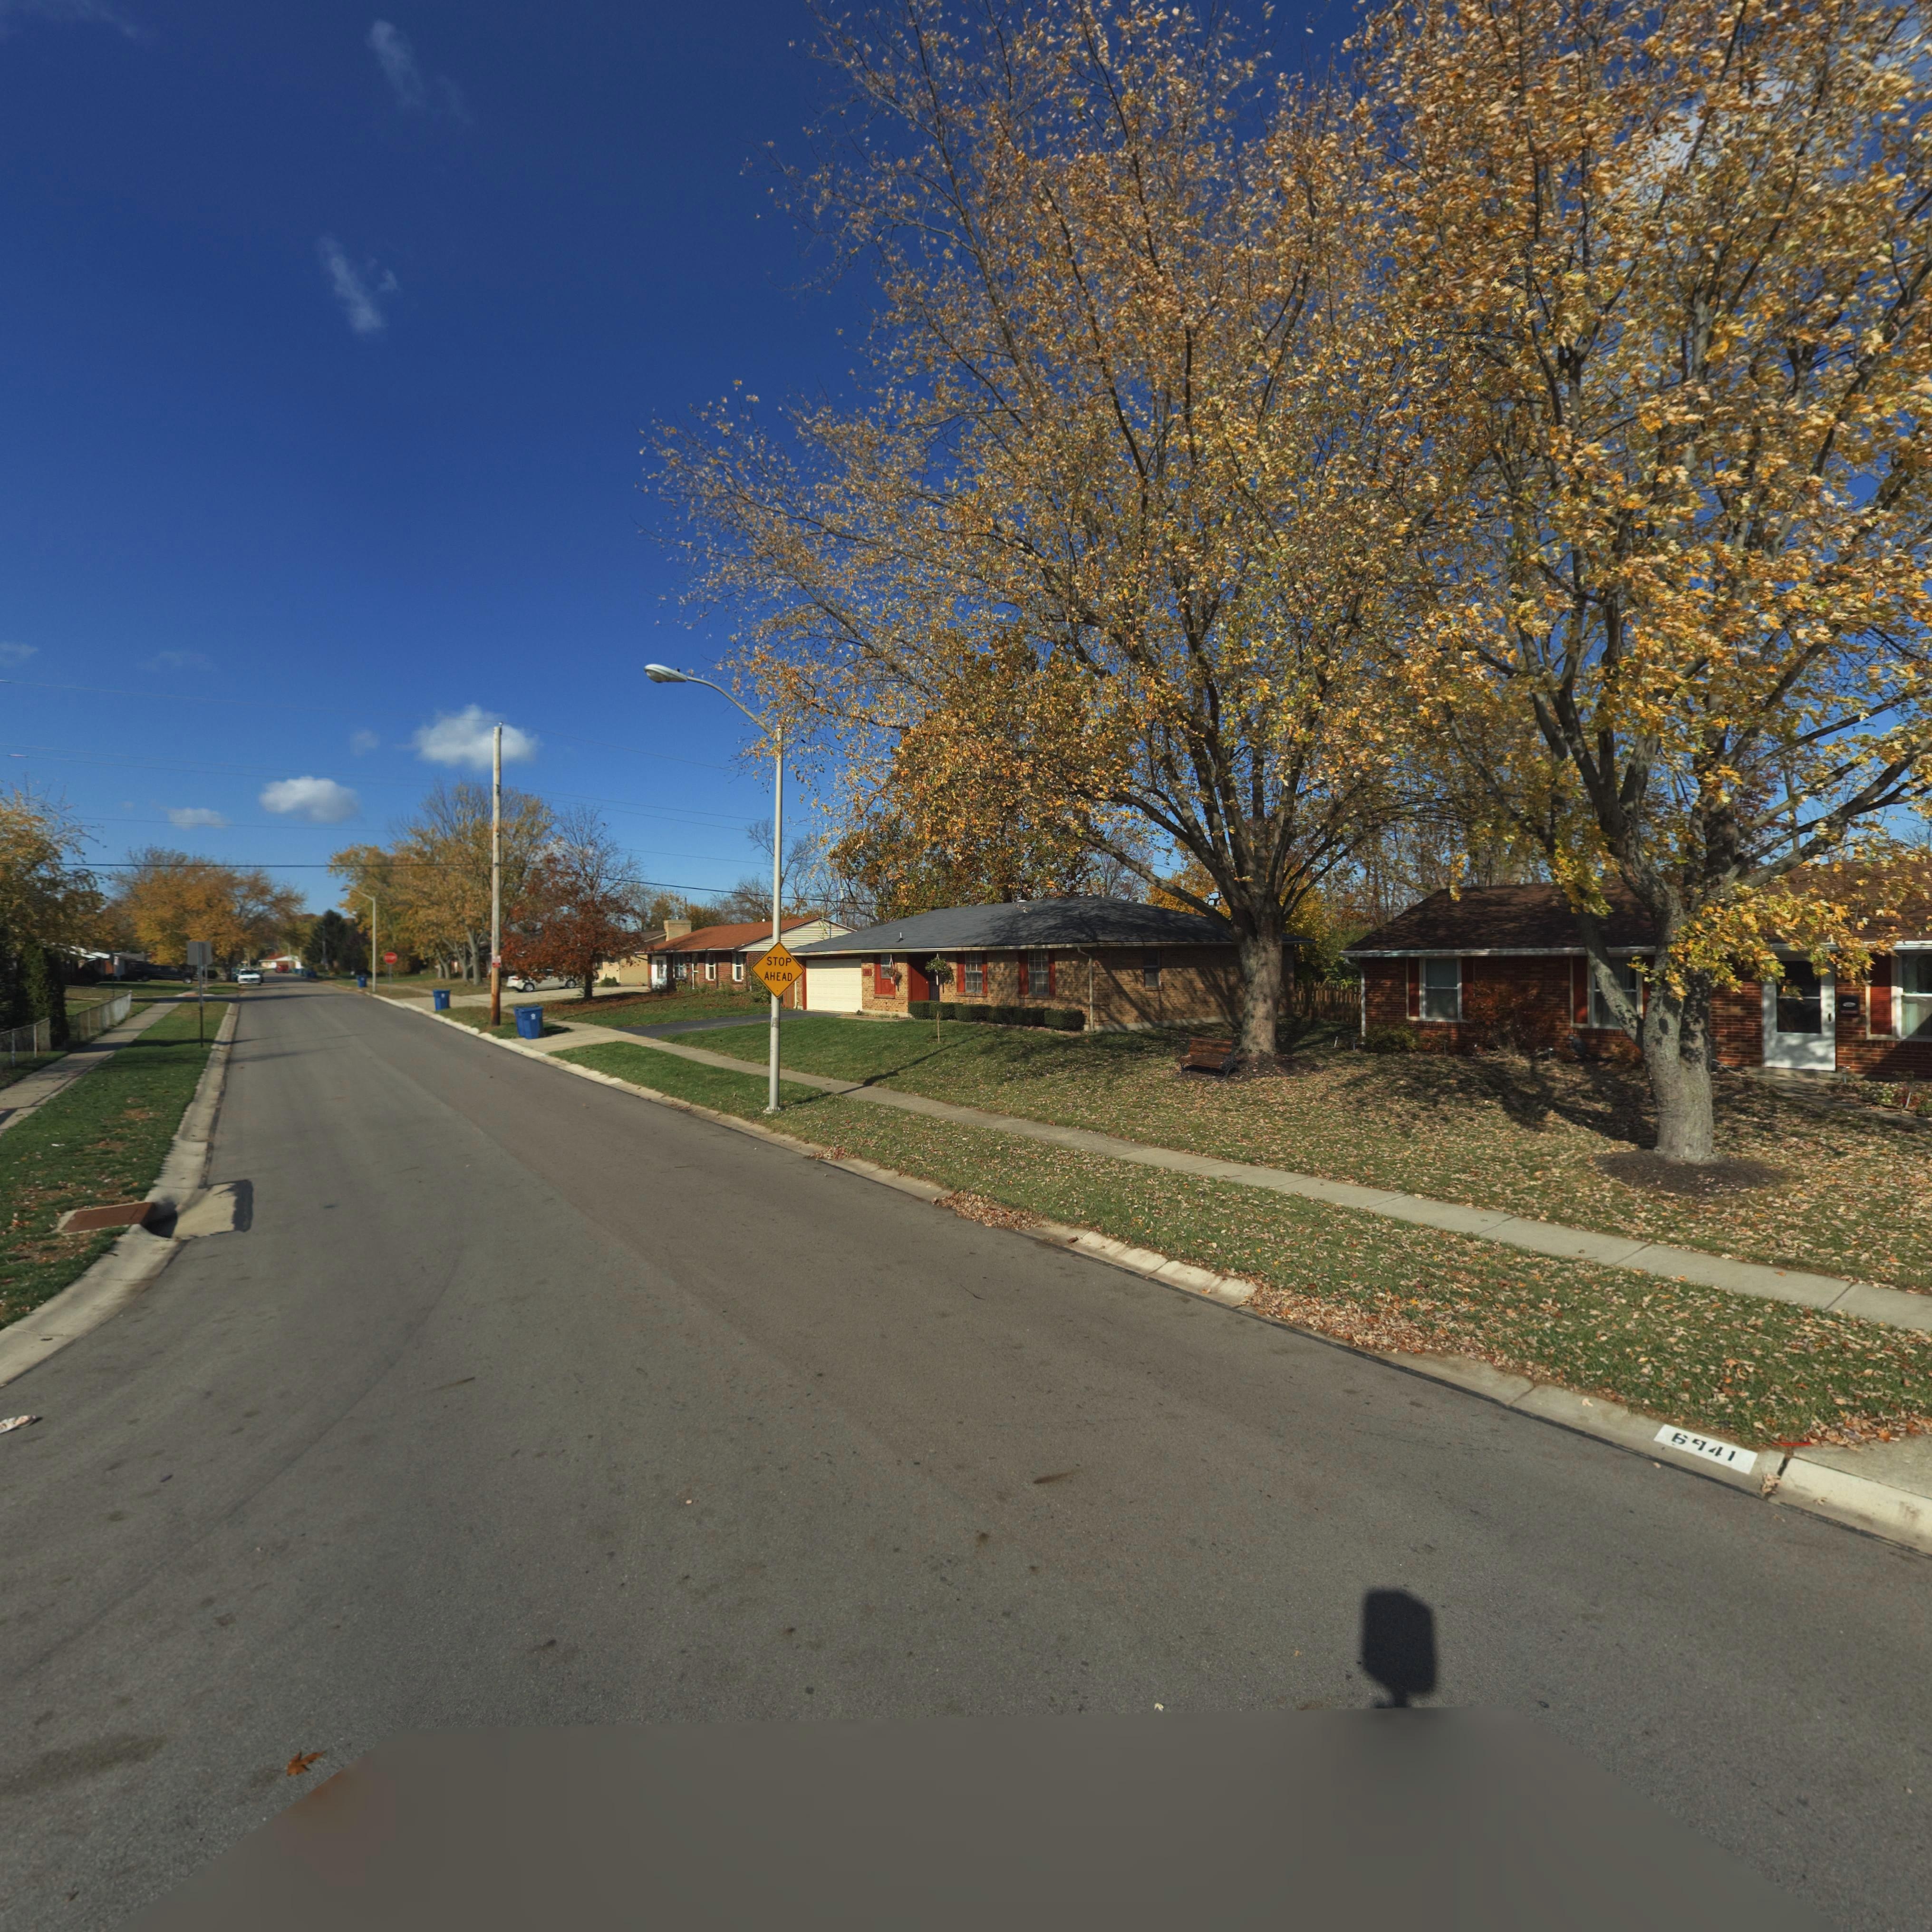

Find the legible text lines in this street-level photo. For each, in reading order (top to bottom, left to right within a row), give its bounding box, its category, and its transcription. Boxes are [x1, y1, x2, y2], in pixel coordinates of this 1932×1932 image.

[1669, 1430, 1738, 1464] StreetNumber: 6941